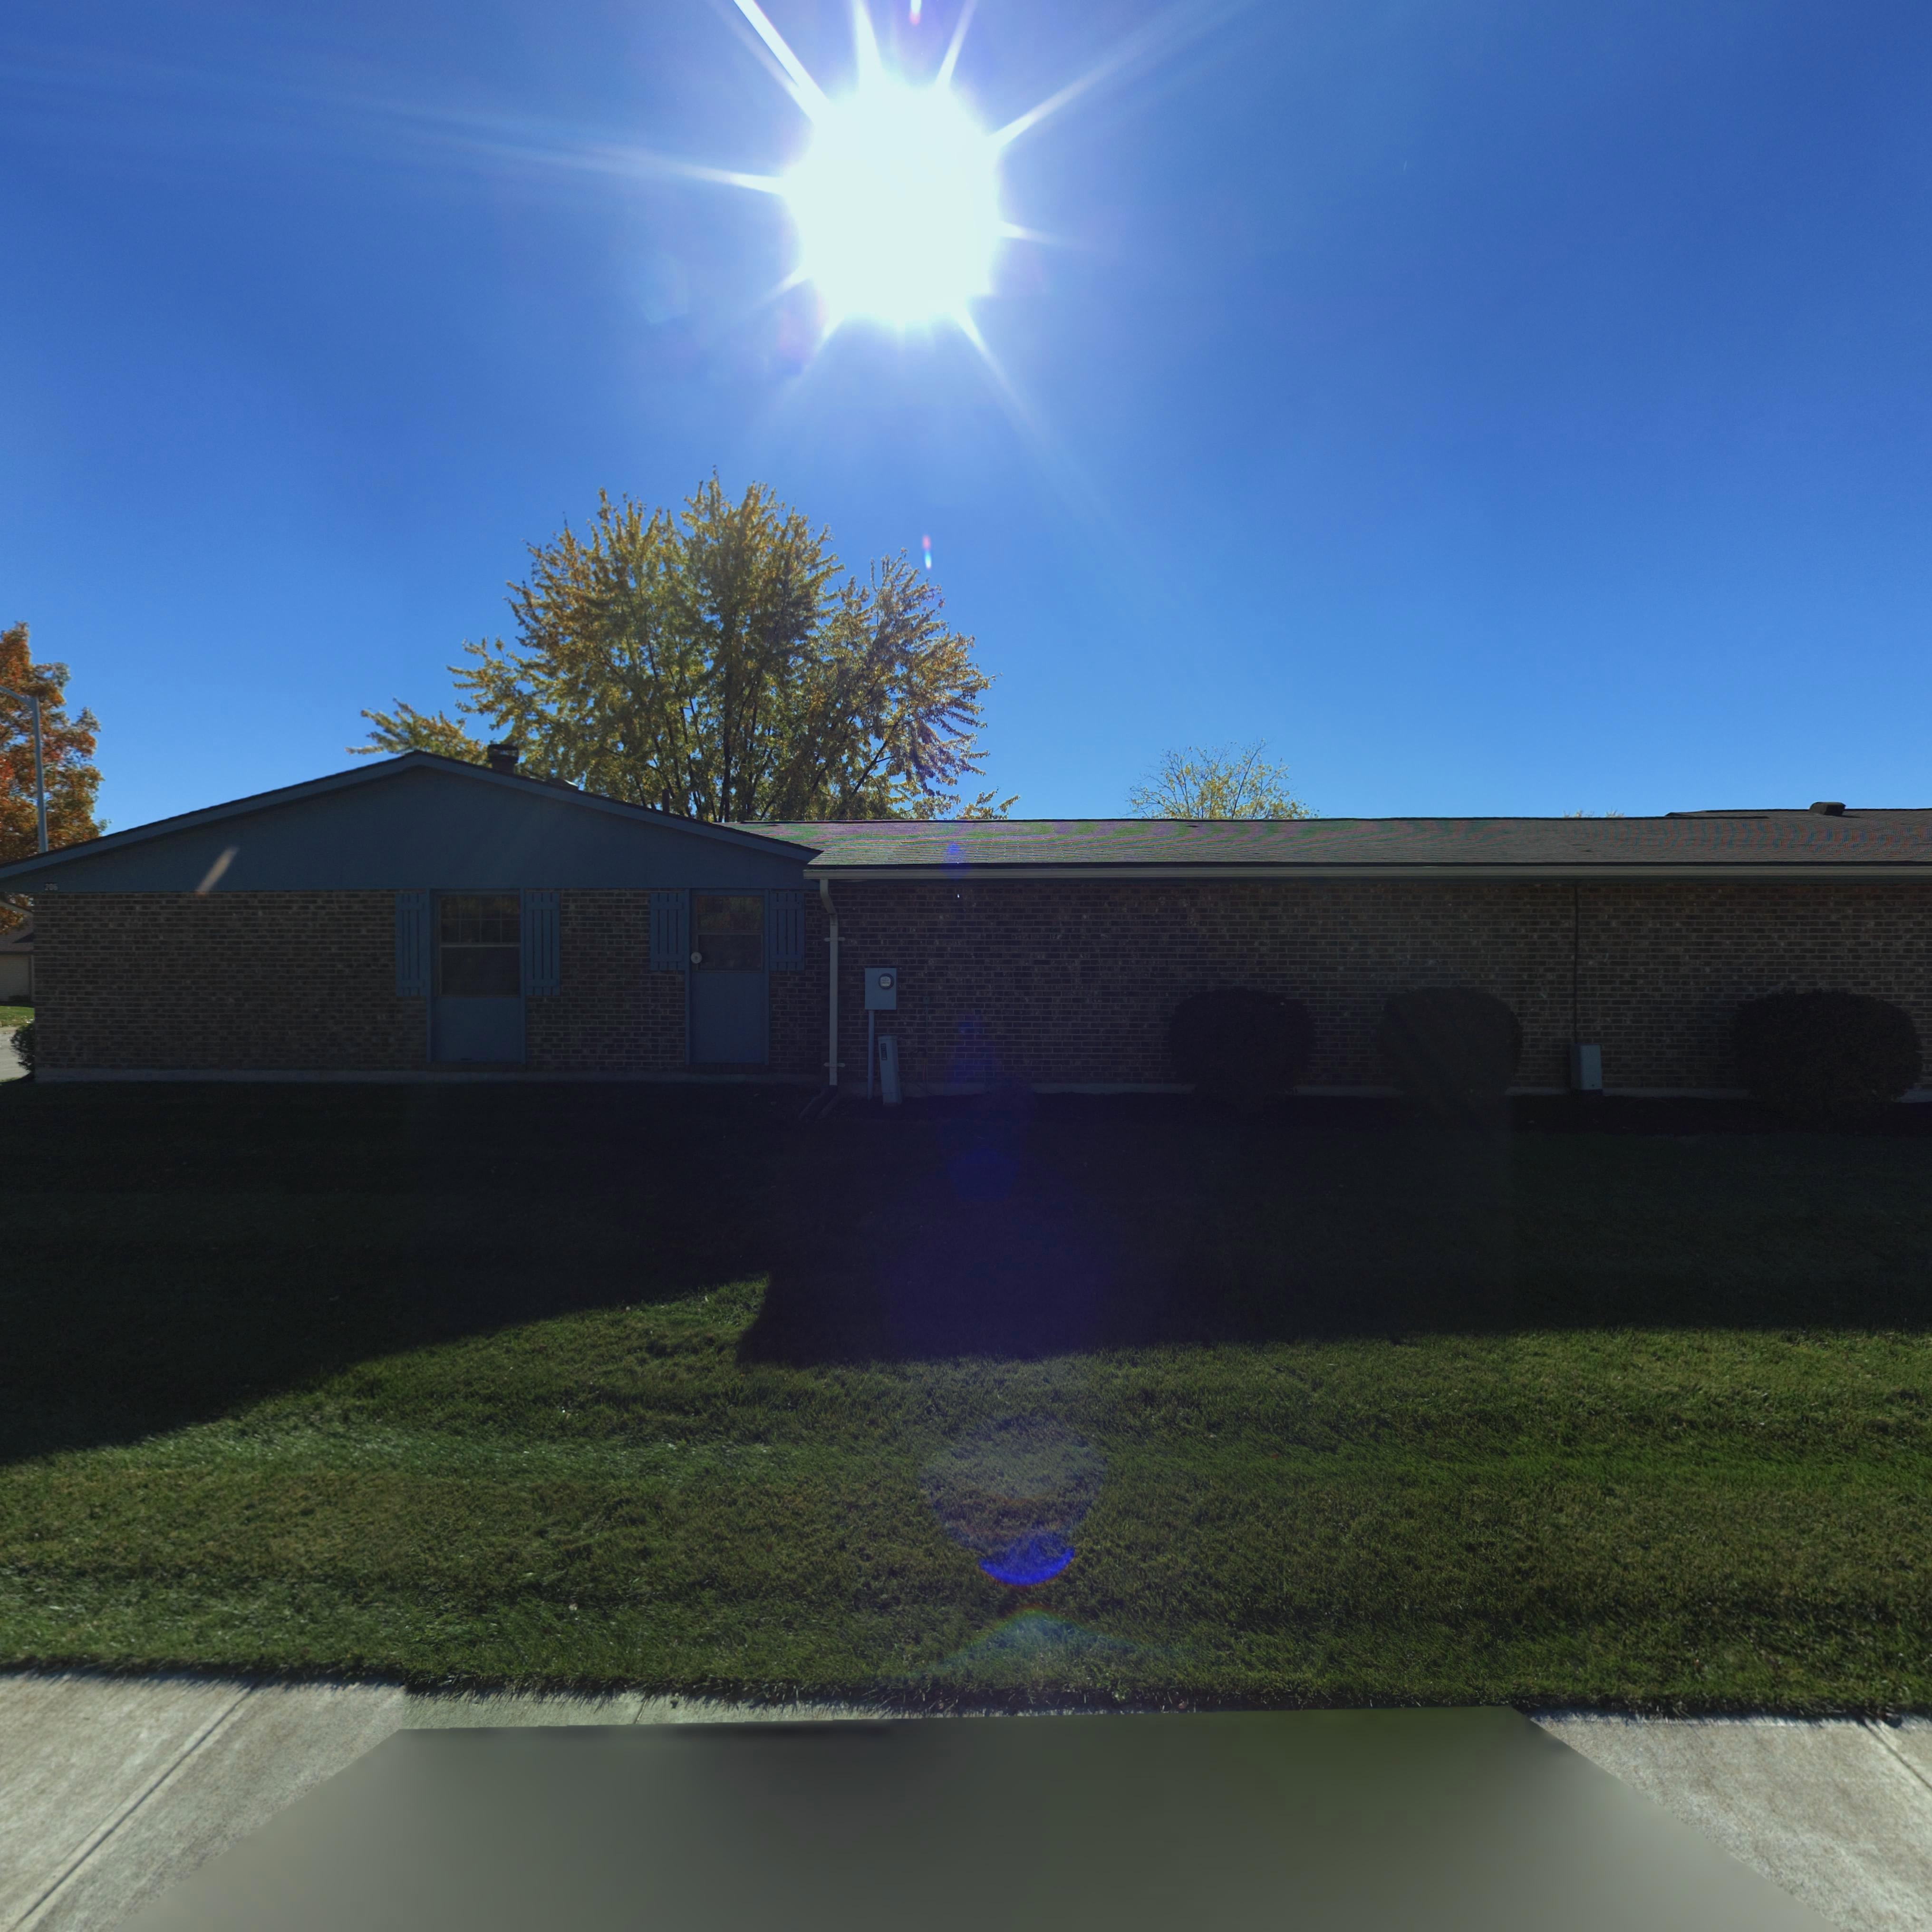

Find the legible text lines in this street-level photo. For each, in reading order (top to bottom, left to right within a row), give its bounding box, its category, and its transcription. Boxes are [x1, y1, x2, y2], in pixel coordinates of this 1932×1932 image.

[44, 882, 58, 891] StreetNumber: 20*